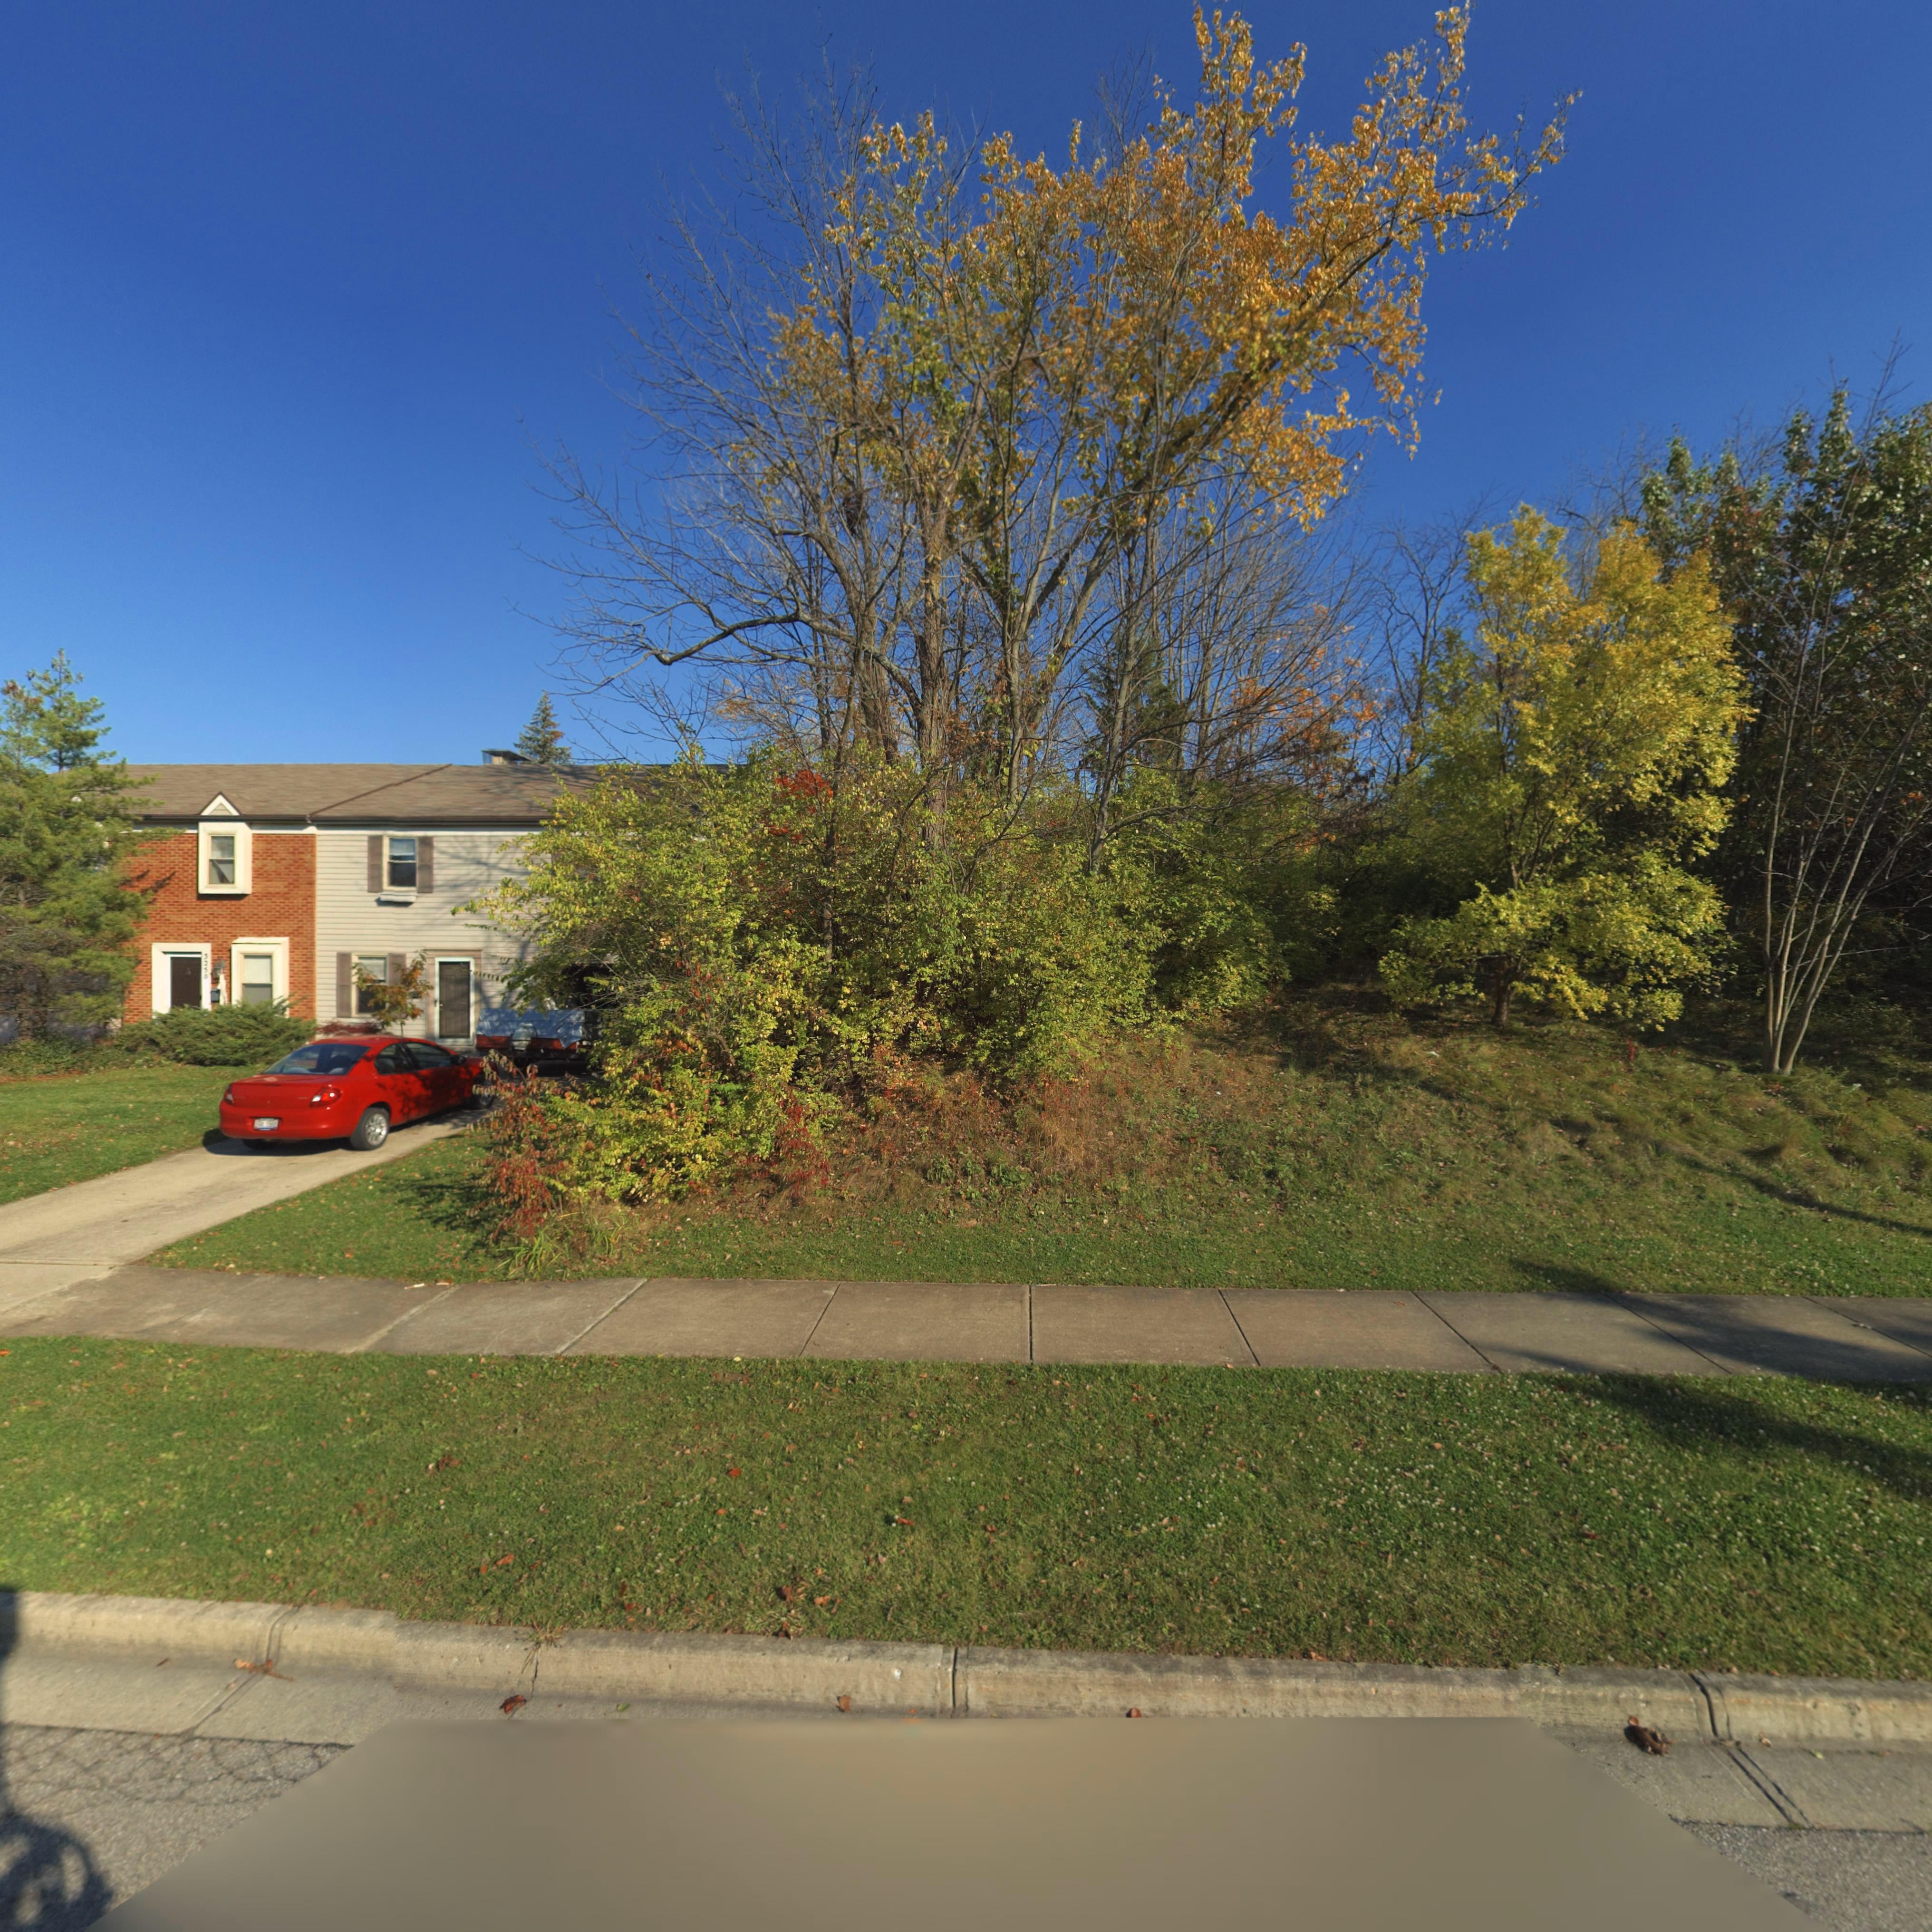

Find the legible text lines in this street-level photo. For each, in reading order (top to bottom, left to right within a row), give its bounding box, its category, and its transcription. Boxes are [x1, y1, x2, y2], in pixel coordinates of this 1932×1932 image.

[203, 952, 208, 980] StreetNumber: 3250